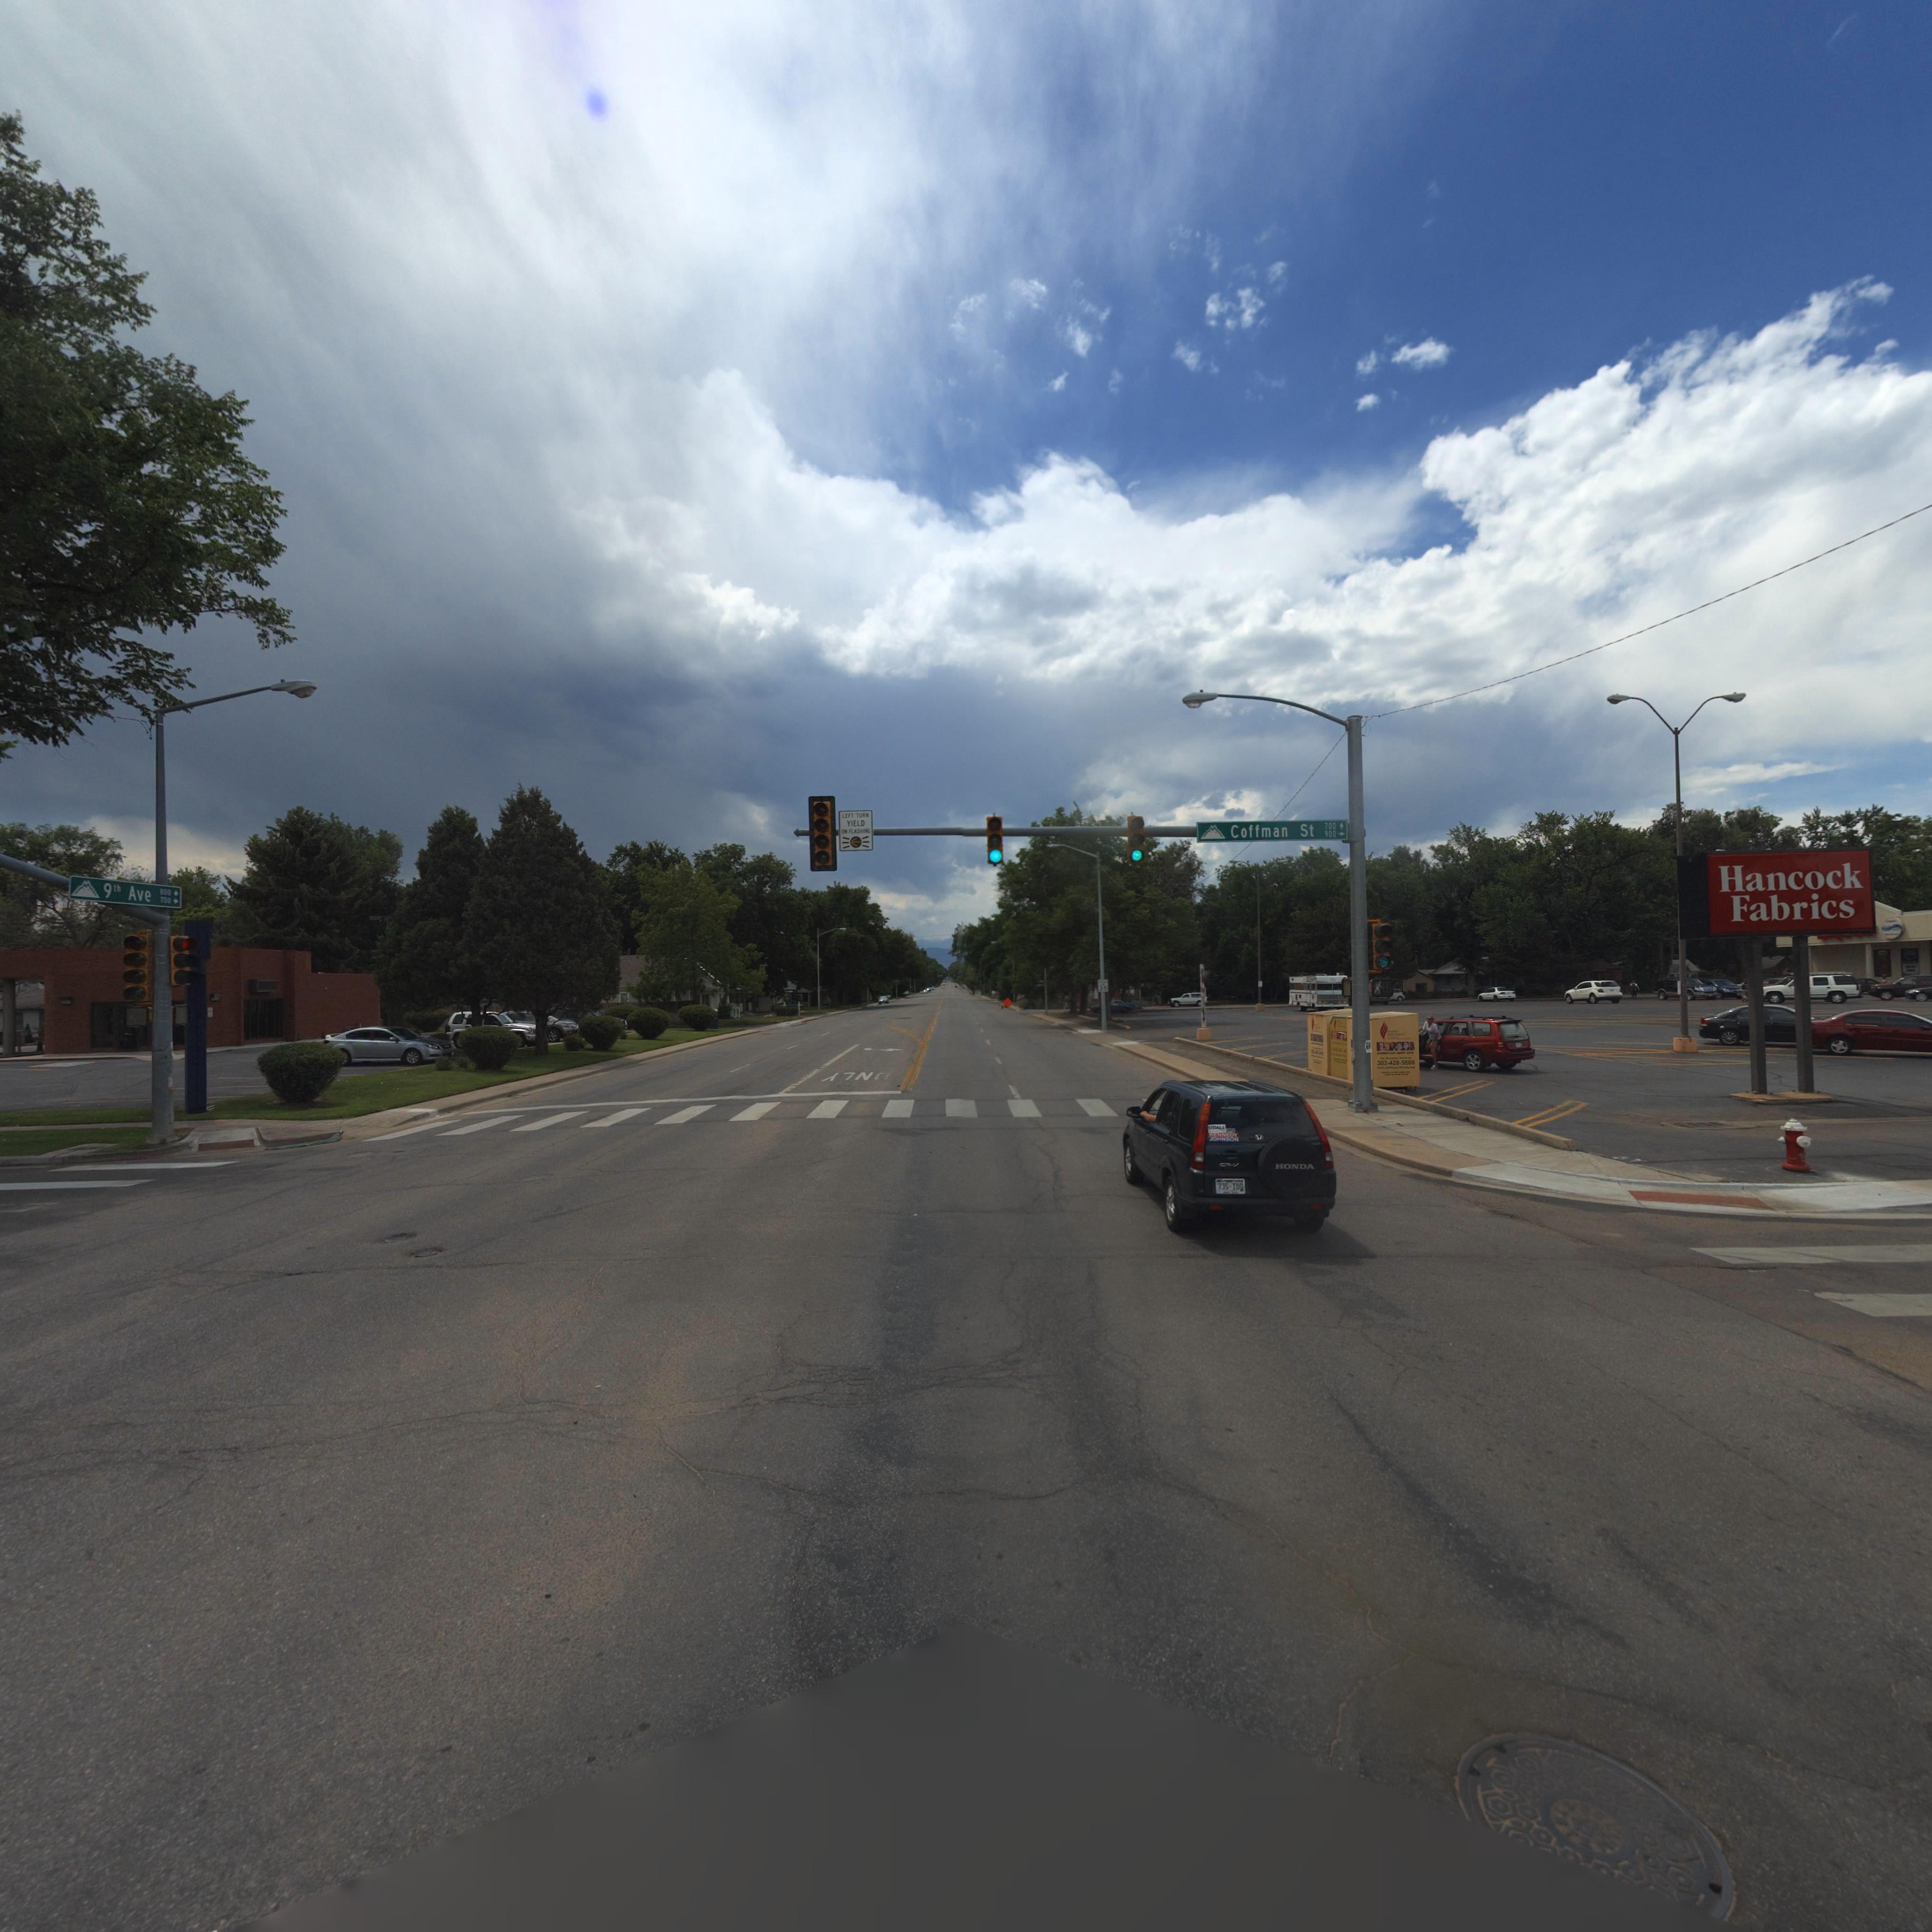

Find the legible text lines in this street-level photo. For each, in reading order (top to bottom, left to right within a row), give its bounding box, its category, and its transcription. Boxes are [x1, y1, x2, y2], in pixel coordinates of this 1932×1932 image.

[1230, 823, 1314, 838] StreetName: Coffman St
[1324, 822, 1336, 830] StreetNumberRange: 700
[1324, 830, 1345, 838] StreetNumberRange: 900->
[1718, 861, 1864, 892] BusinessName: Hancock
[103, 882, 151, 902] StreetName: 9th Ave
[159, 888, 171, 896] StreetNumberRange: 800
[160, 896, 178, 904] StreetNumberRange: 700->
[1730, 892, 1855, 922] BusinessName: Fabrics